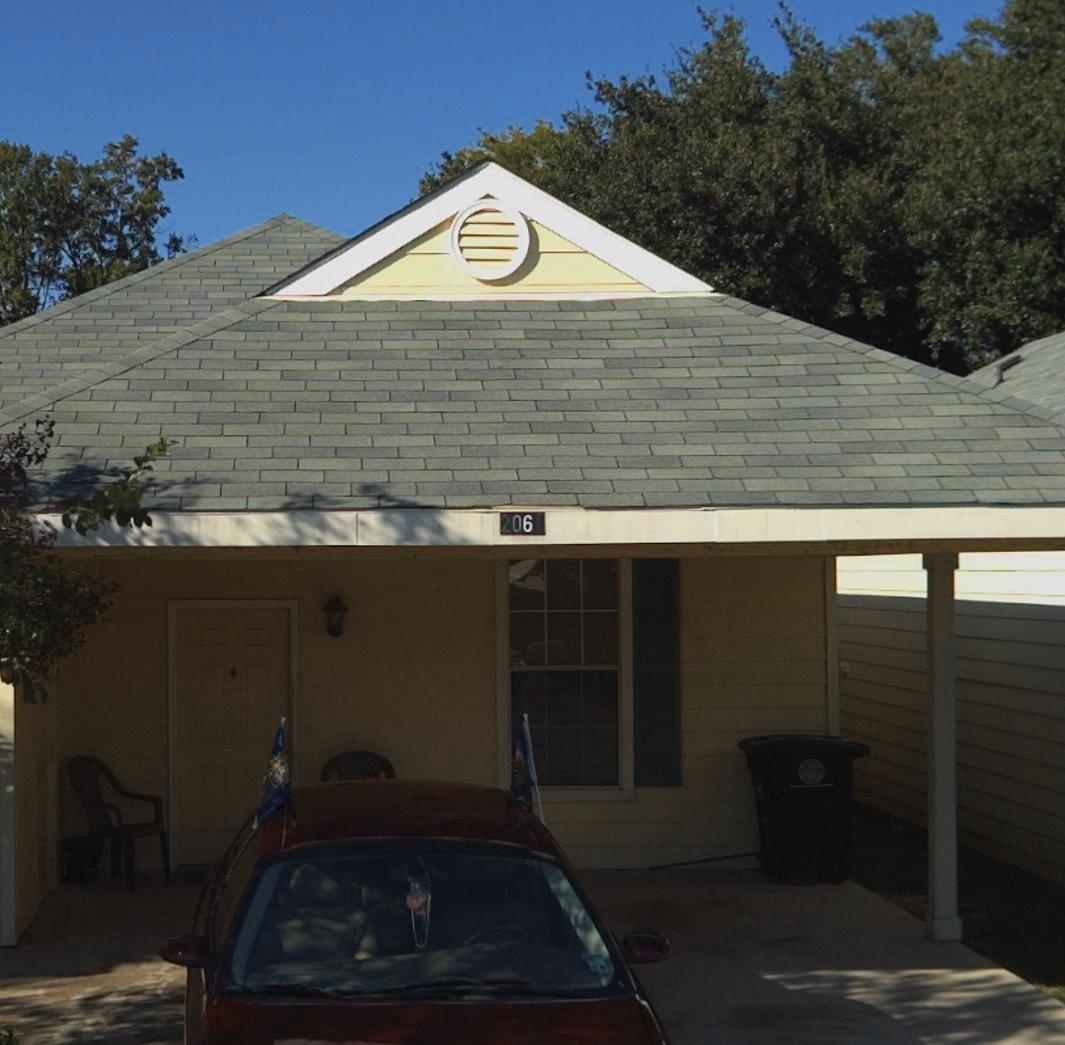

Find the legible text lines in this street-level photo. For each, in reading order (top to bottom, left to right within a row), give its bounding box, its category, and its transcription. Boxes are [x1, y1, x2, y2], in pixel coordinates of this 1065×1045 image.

[500, 513, 543, 534] StreetNumber: 2061